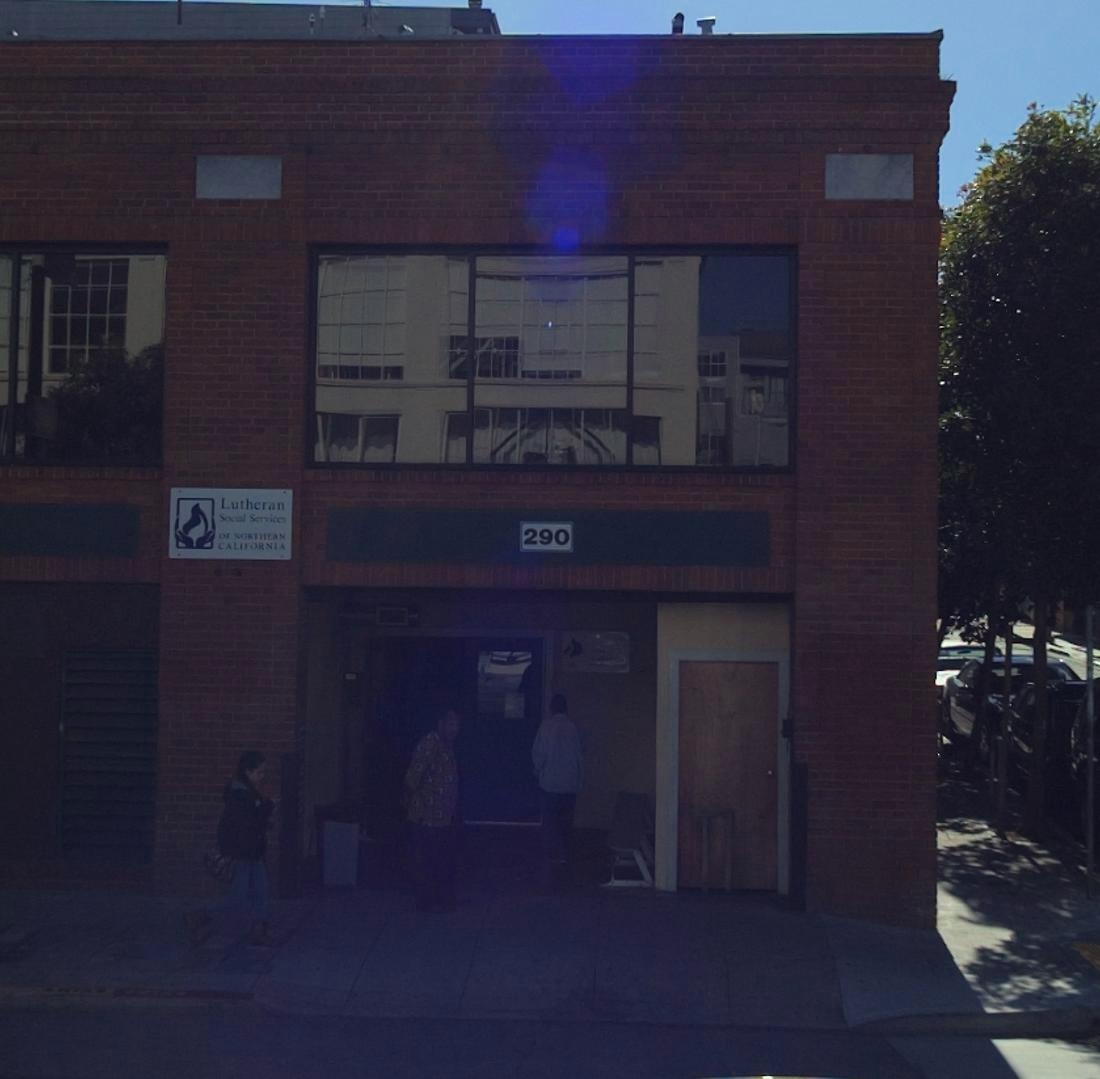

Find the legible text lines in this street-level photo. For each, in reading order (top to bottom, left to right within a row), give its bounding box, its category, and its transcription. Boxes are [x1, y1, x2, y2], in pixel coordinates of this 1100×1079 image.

[220, 496, 287, 511] BusinessName: Lutheran
[218, 511, 288, 525] BusinessName: Social Services
[217, 531, 287, 542] BusinessName: OF NORTHERN
[522, 527, 572, 546] StreetNumber: 290
[216, 540, 287, 551] BusinessName: CALIFORNIA